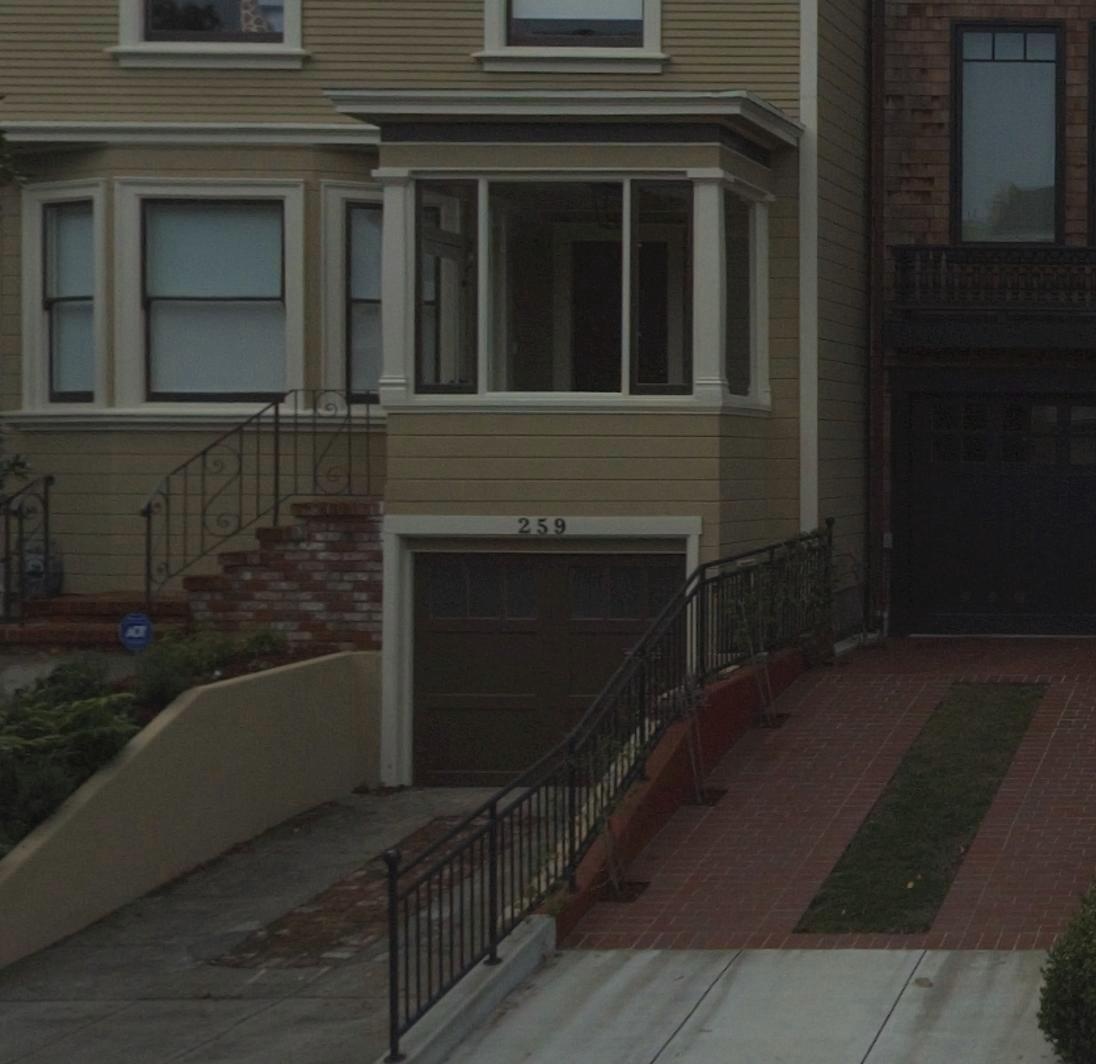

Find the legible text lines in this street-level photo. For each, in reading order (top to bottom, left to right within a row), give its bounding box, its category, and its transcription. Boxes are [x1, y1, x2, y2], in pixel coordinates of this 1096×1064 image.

[517, 516, 567, 535] StreetNumber: 259
[124, 625, 148, 638] None: ADT